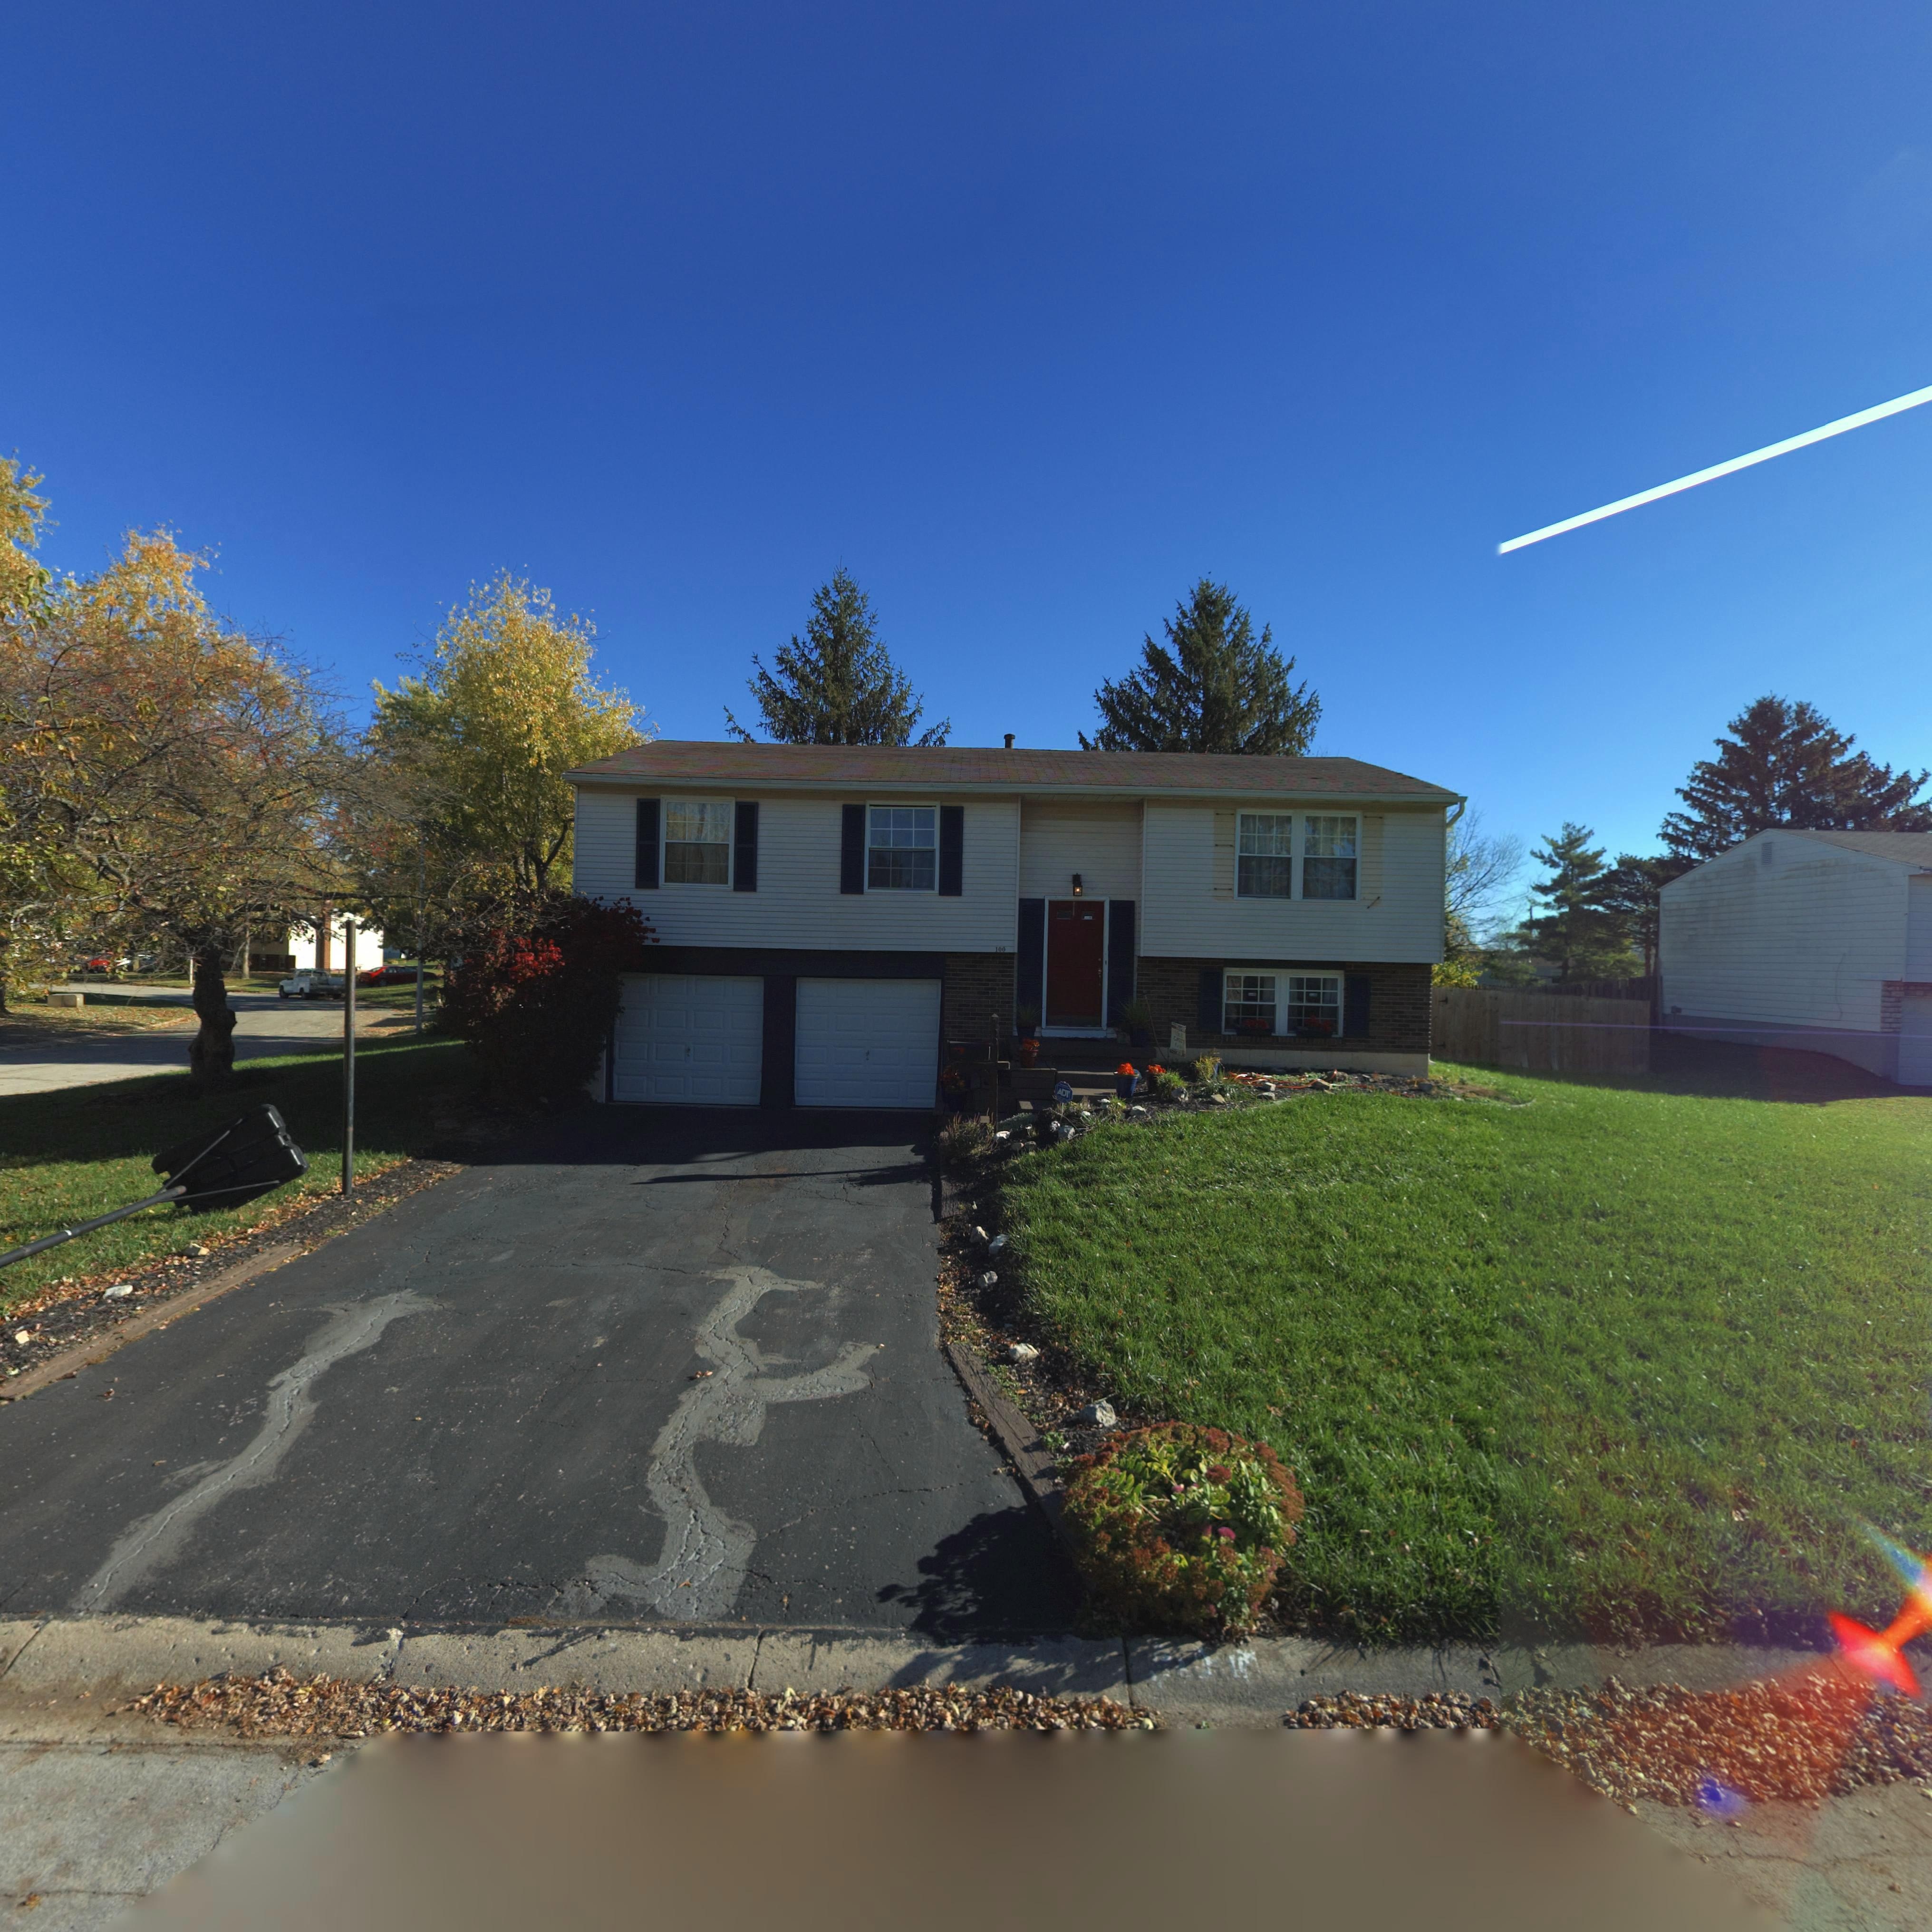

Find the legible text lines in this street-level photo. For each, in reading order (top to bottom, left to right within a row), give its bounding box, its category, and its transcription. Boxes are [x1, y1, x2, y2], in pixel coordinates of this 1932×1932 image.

[995, 947, 1006, 953] StreetNumber: 100
[990, 1018, 998, 1046] StreetNumber: *00